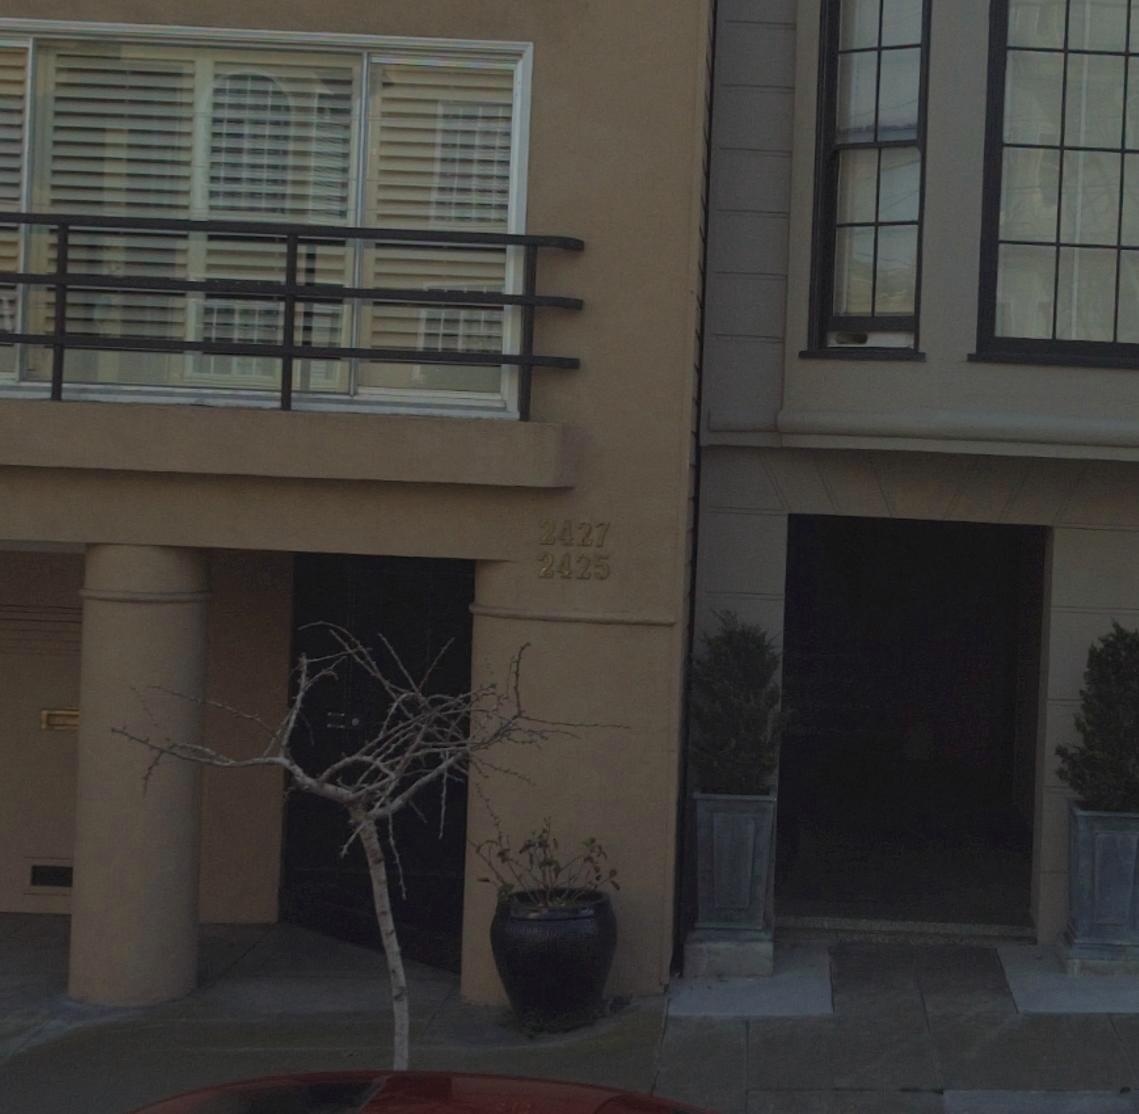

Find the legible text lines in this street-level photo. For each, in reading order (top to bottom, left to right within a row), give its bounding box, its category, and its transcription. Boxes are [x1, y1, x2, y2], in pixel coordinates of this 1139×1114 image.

[535, 515, 615, 550] StreetNumber: 2427
[533, 547, 617, 584] StreetNumber: 2425